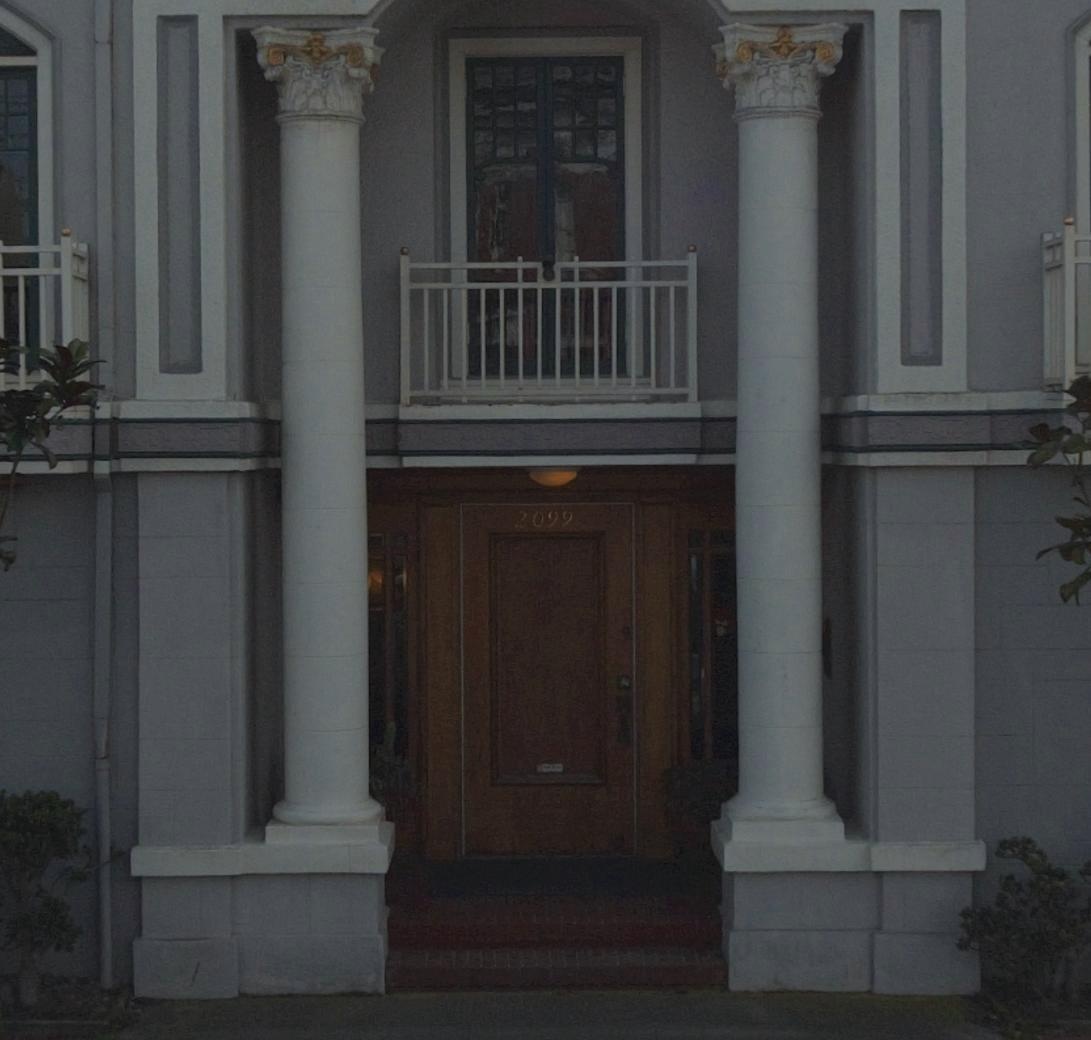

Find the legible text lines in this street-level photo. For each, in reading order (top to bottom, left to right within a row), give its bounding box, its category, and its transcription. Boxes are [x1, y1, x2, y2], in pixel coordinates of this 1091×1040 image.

[512, 508, 575, 531] StreetNumber: 2099